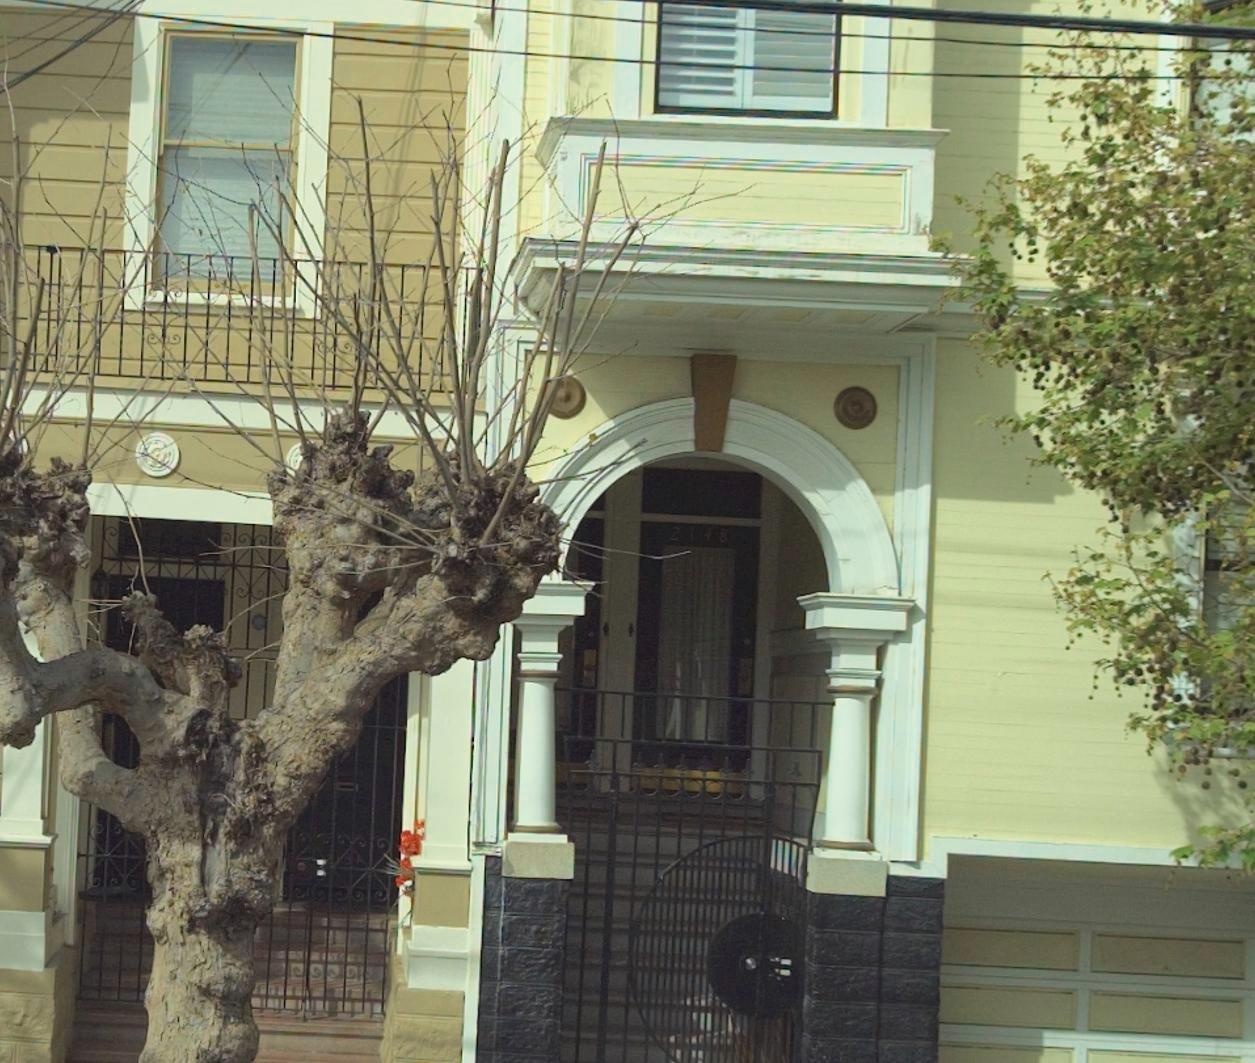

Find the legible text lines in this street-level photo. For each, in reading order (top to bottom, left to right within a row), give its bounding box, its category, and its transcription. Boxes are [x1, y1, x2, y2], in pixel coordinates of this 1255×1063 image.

[667, 524, 732, 546] StreetNumber: 2148